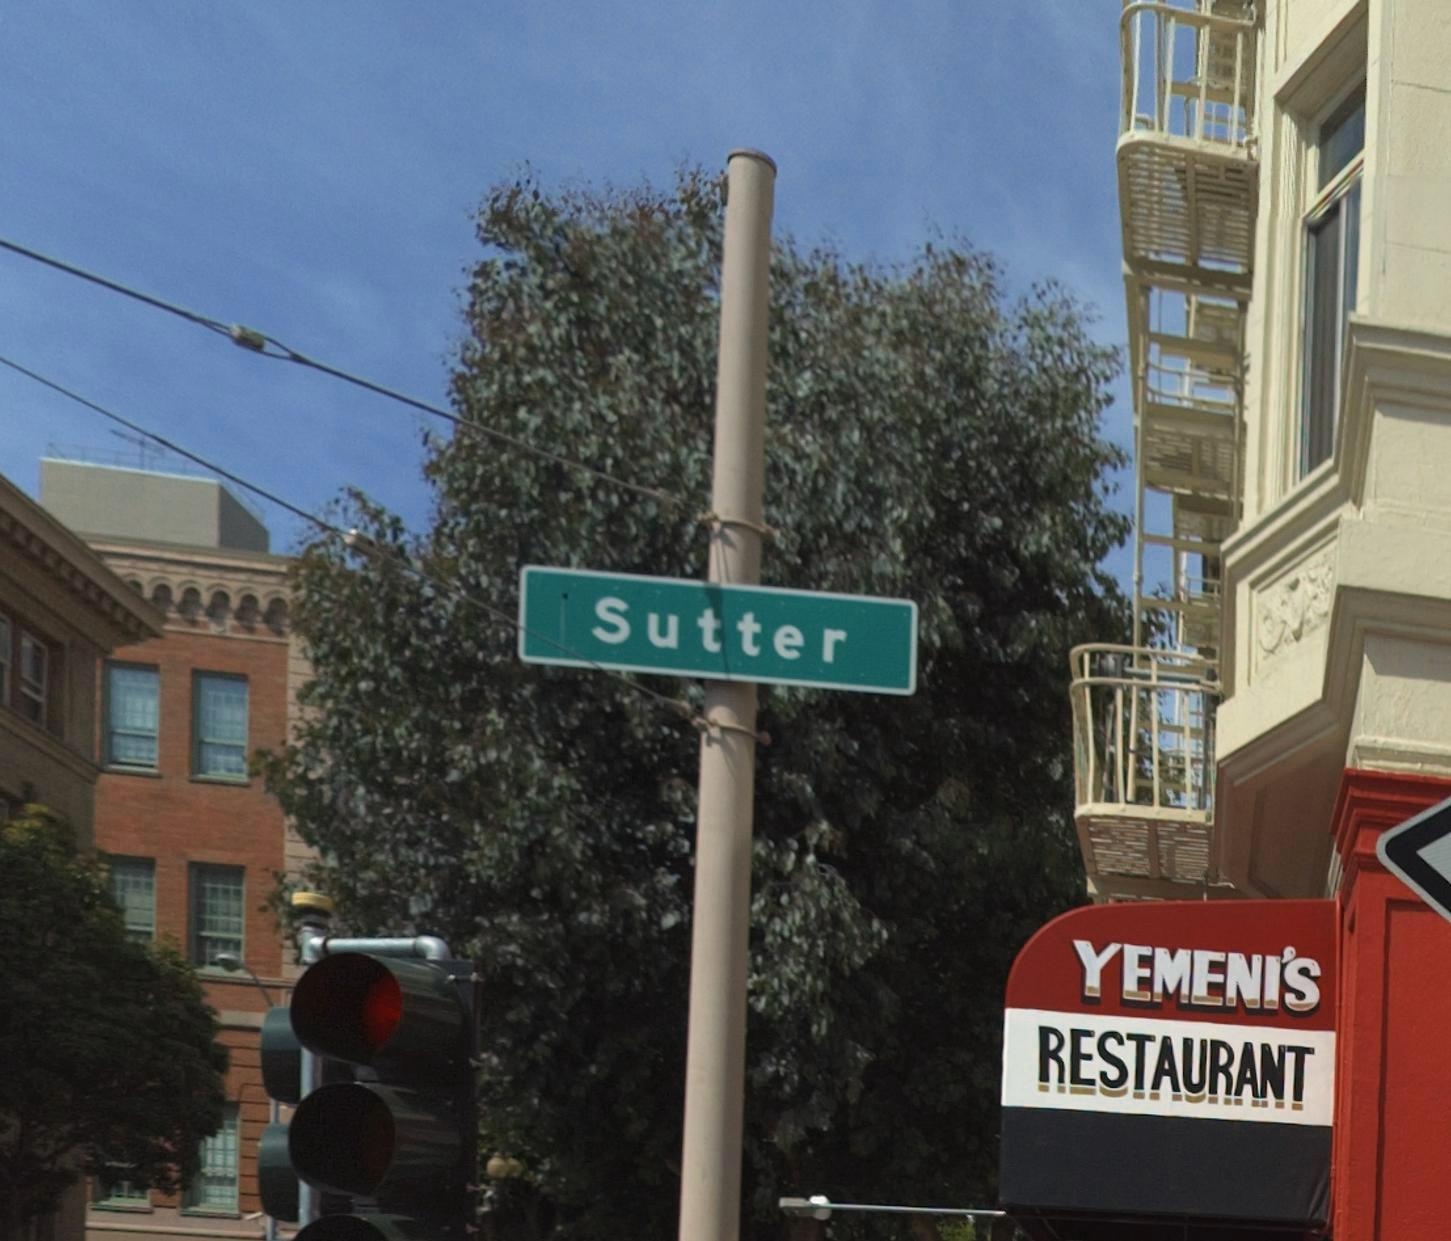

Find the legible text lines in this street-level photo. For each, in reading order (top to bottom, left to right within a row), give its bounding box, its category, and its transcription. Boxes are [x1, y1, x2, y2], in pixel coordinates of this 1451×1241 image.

[585, 592, 855, 669] StreetName: Sutter
[1064, 935, 1326, 1019] BusinessName: YEMENI'S
[1034, 1019, 1320, 1106] BusinessName: RESTAURANT